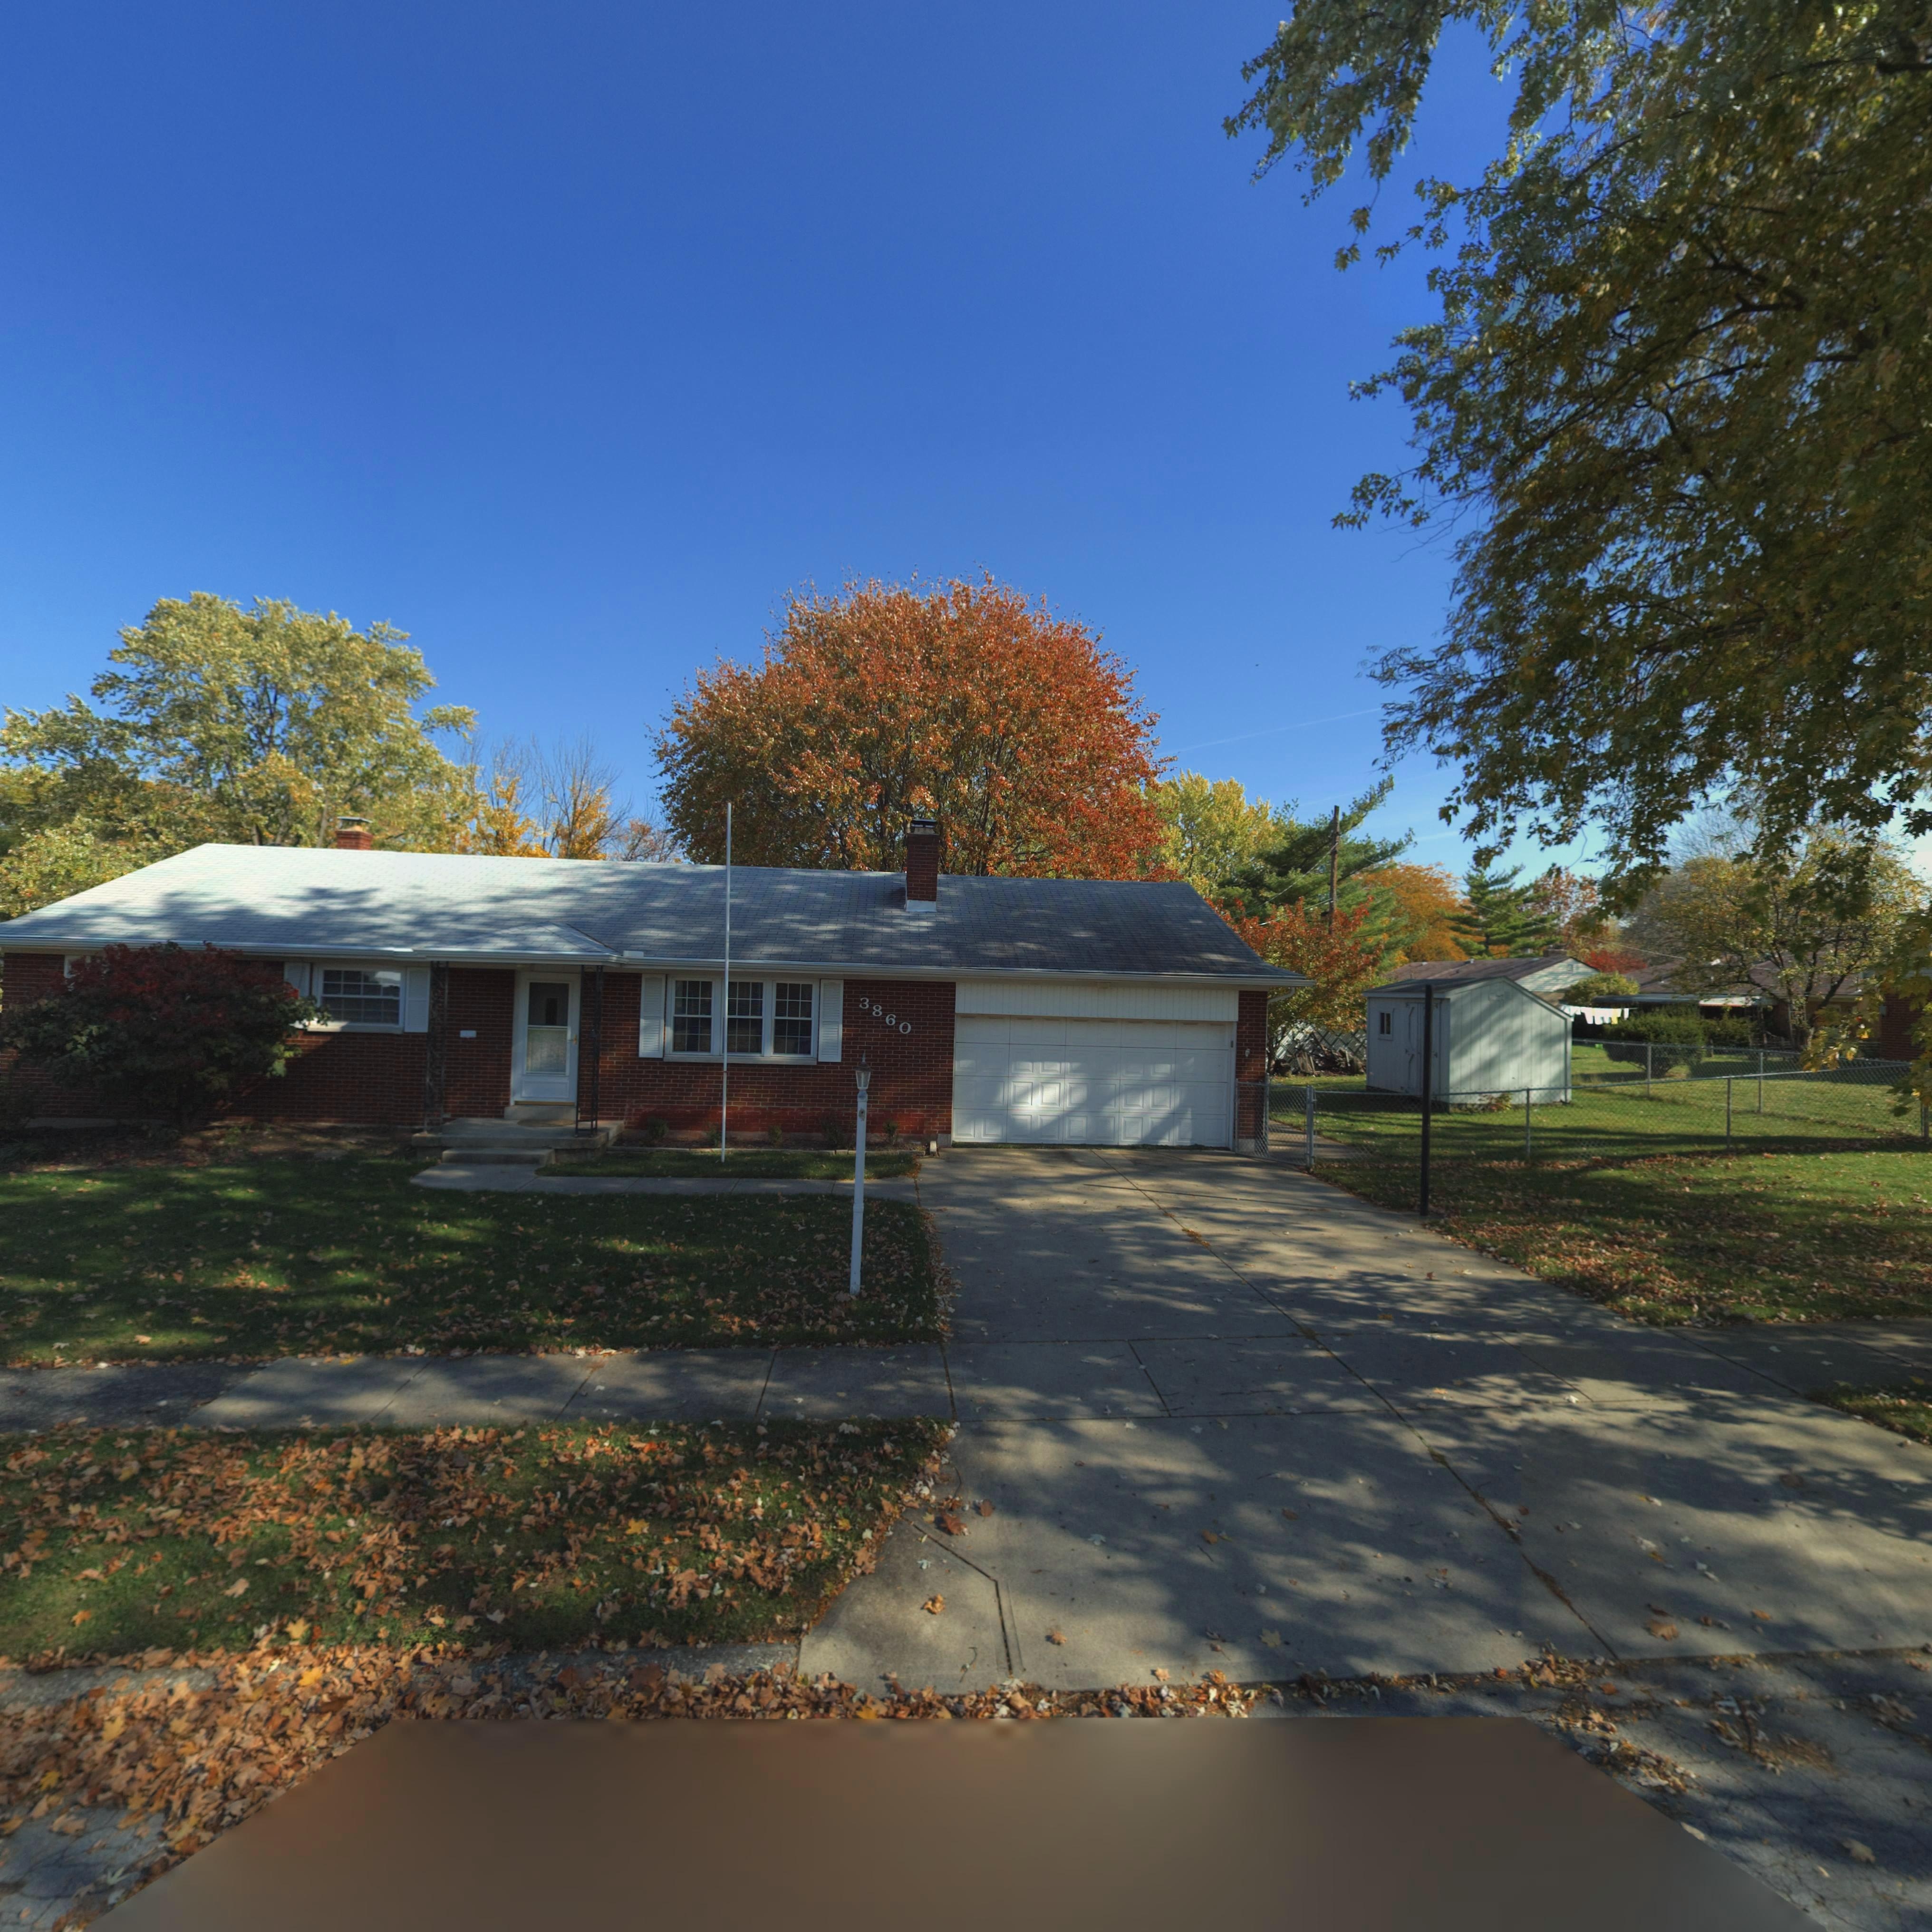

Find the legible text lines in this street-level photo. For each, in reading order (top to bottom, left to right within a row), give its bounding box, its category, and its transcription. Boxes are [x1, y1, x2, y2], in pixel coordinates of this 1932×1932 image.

[858, 996, 912, 1035] StreetNumber: 3860